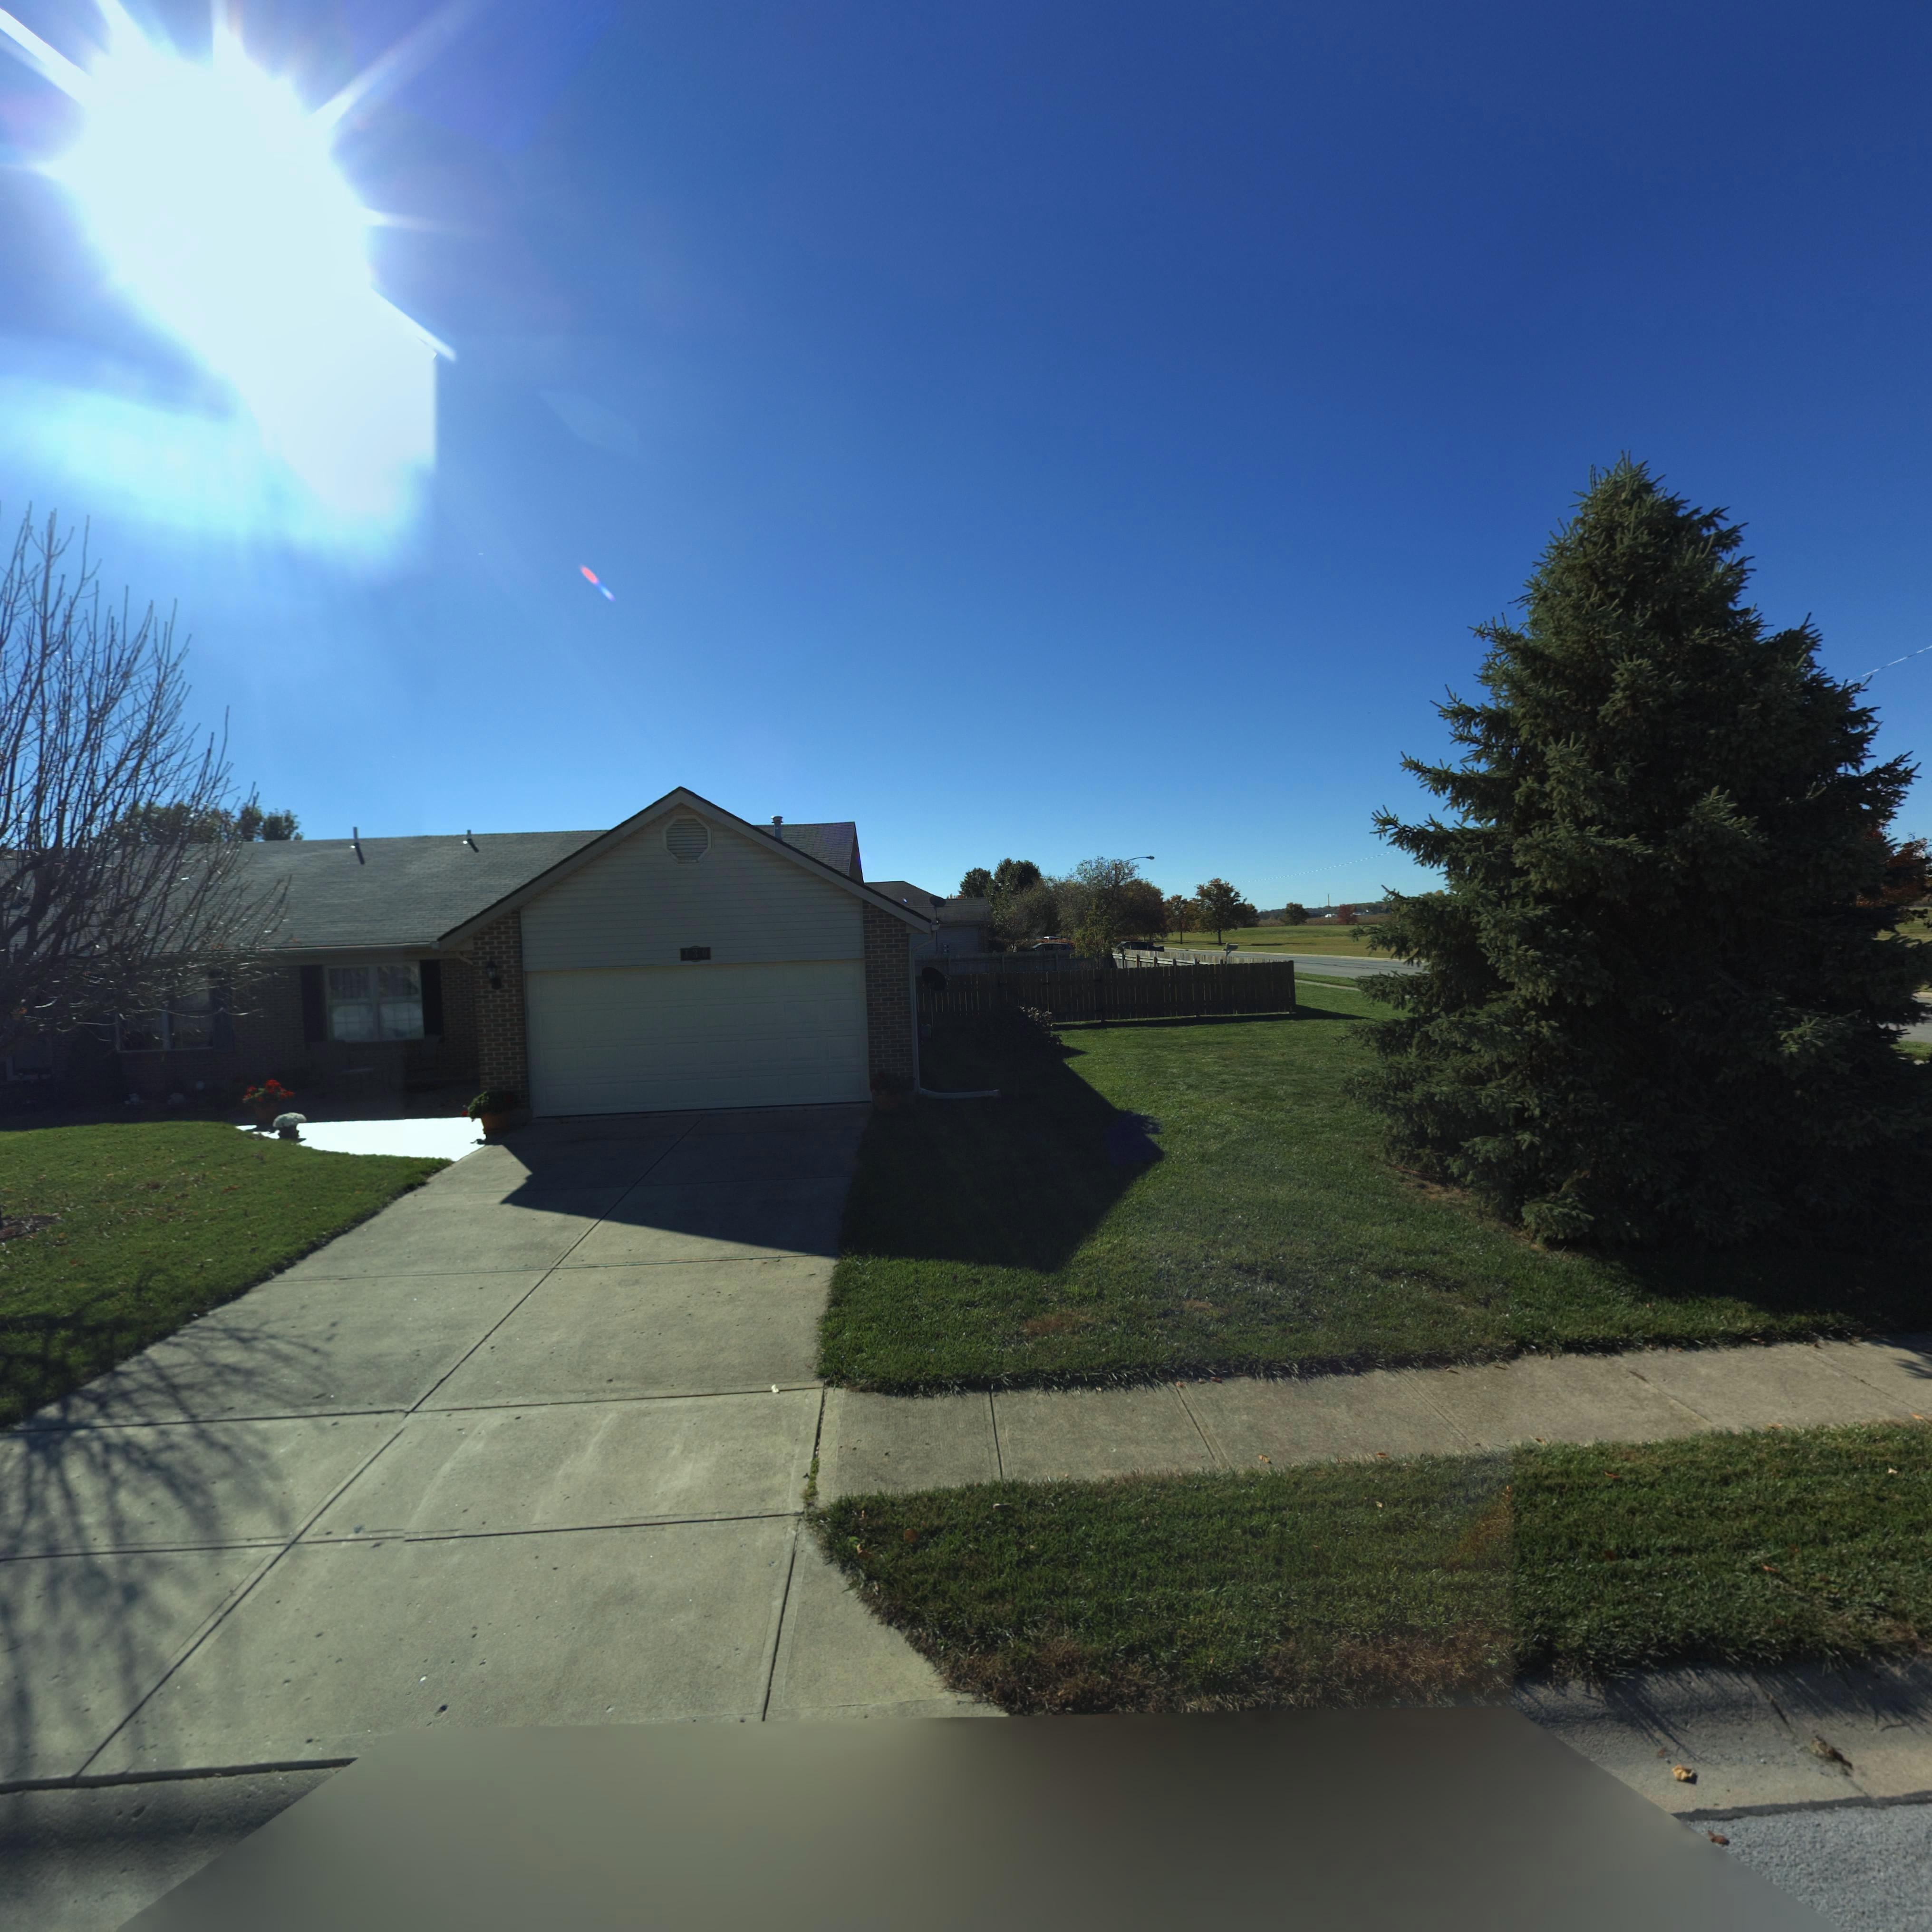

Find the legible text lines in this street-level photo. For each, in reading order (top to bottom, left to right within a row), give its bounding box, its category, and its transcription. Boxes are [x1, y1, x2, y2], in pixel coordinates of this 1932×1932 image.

[683, 948, 708, 960] StreetNumber: 130